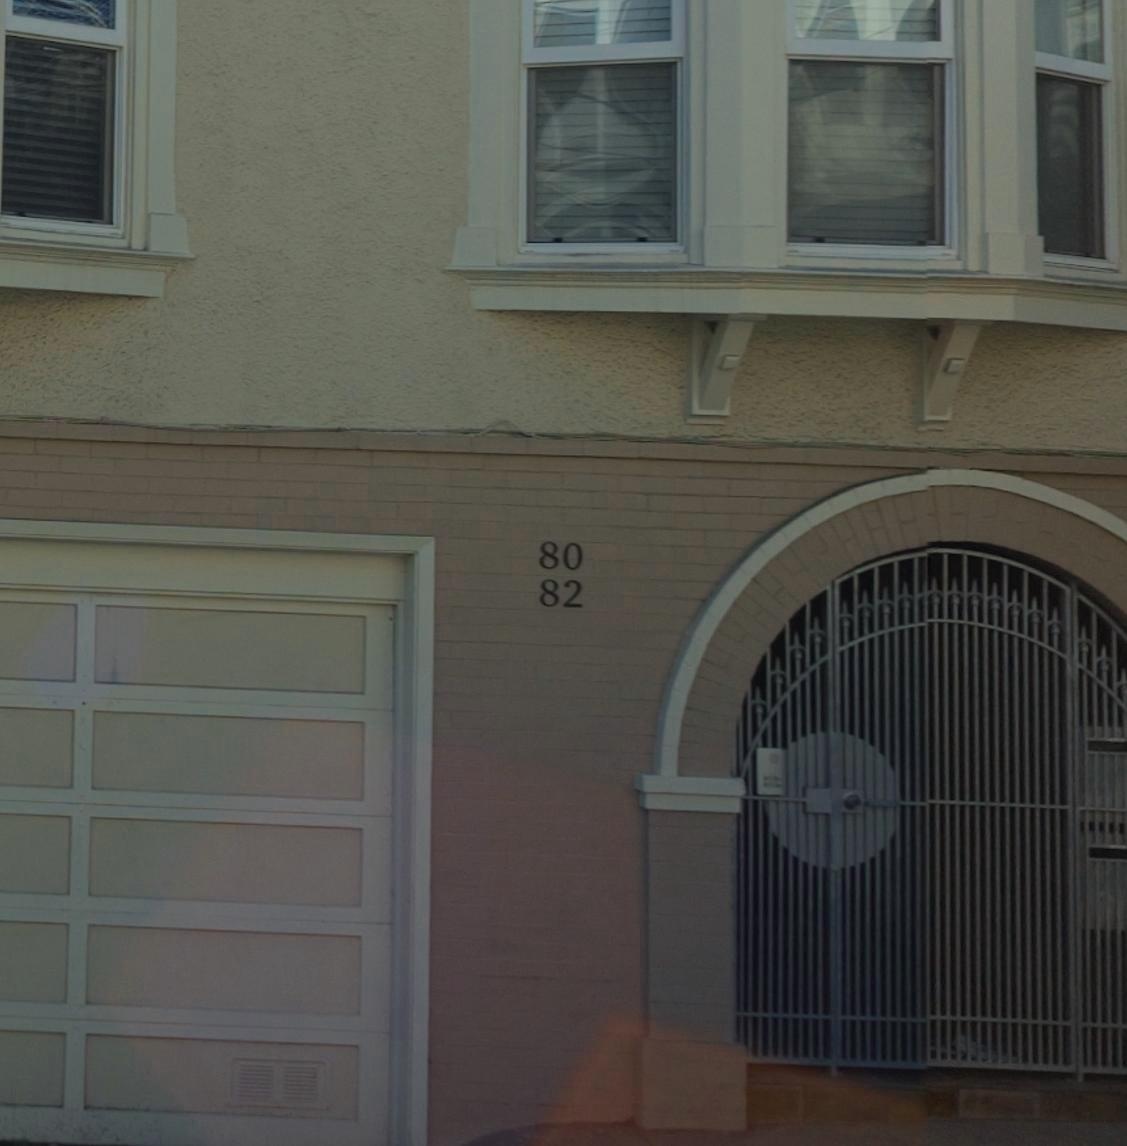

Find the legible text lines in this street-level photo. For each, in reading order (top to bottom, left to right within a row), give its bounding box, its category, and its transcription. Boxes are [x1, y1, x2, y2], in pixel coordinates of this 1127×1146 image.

[537, 540, 585, 572] StreetNumber: 80
[538, 576, 586, 609] StreetNumber: 82